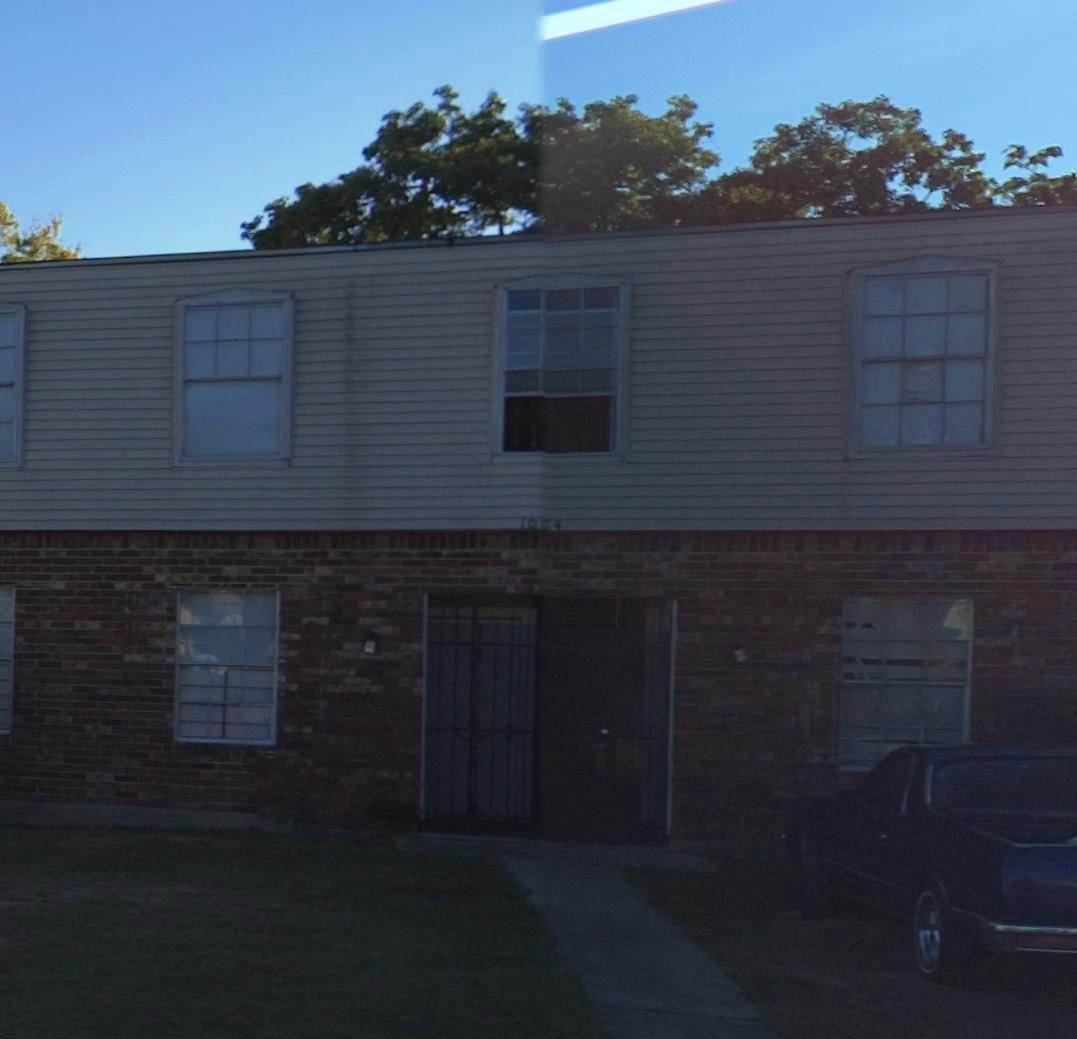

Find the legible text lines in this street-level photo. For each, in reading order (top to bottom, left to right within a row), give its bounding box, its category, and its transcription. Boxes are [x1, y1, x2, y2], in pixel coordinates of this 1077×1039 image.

[516, 514, 564, 532] StreetNumber: 10*4